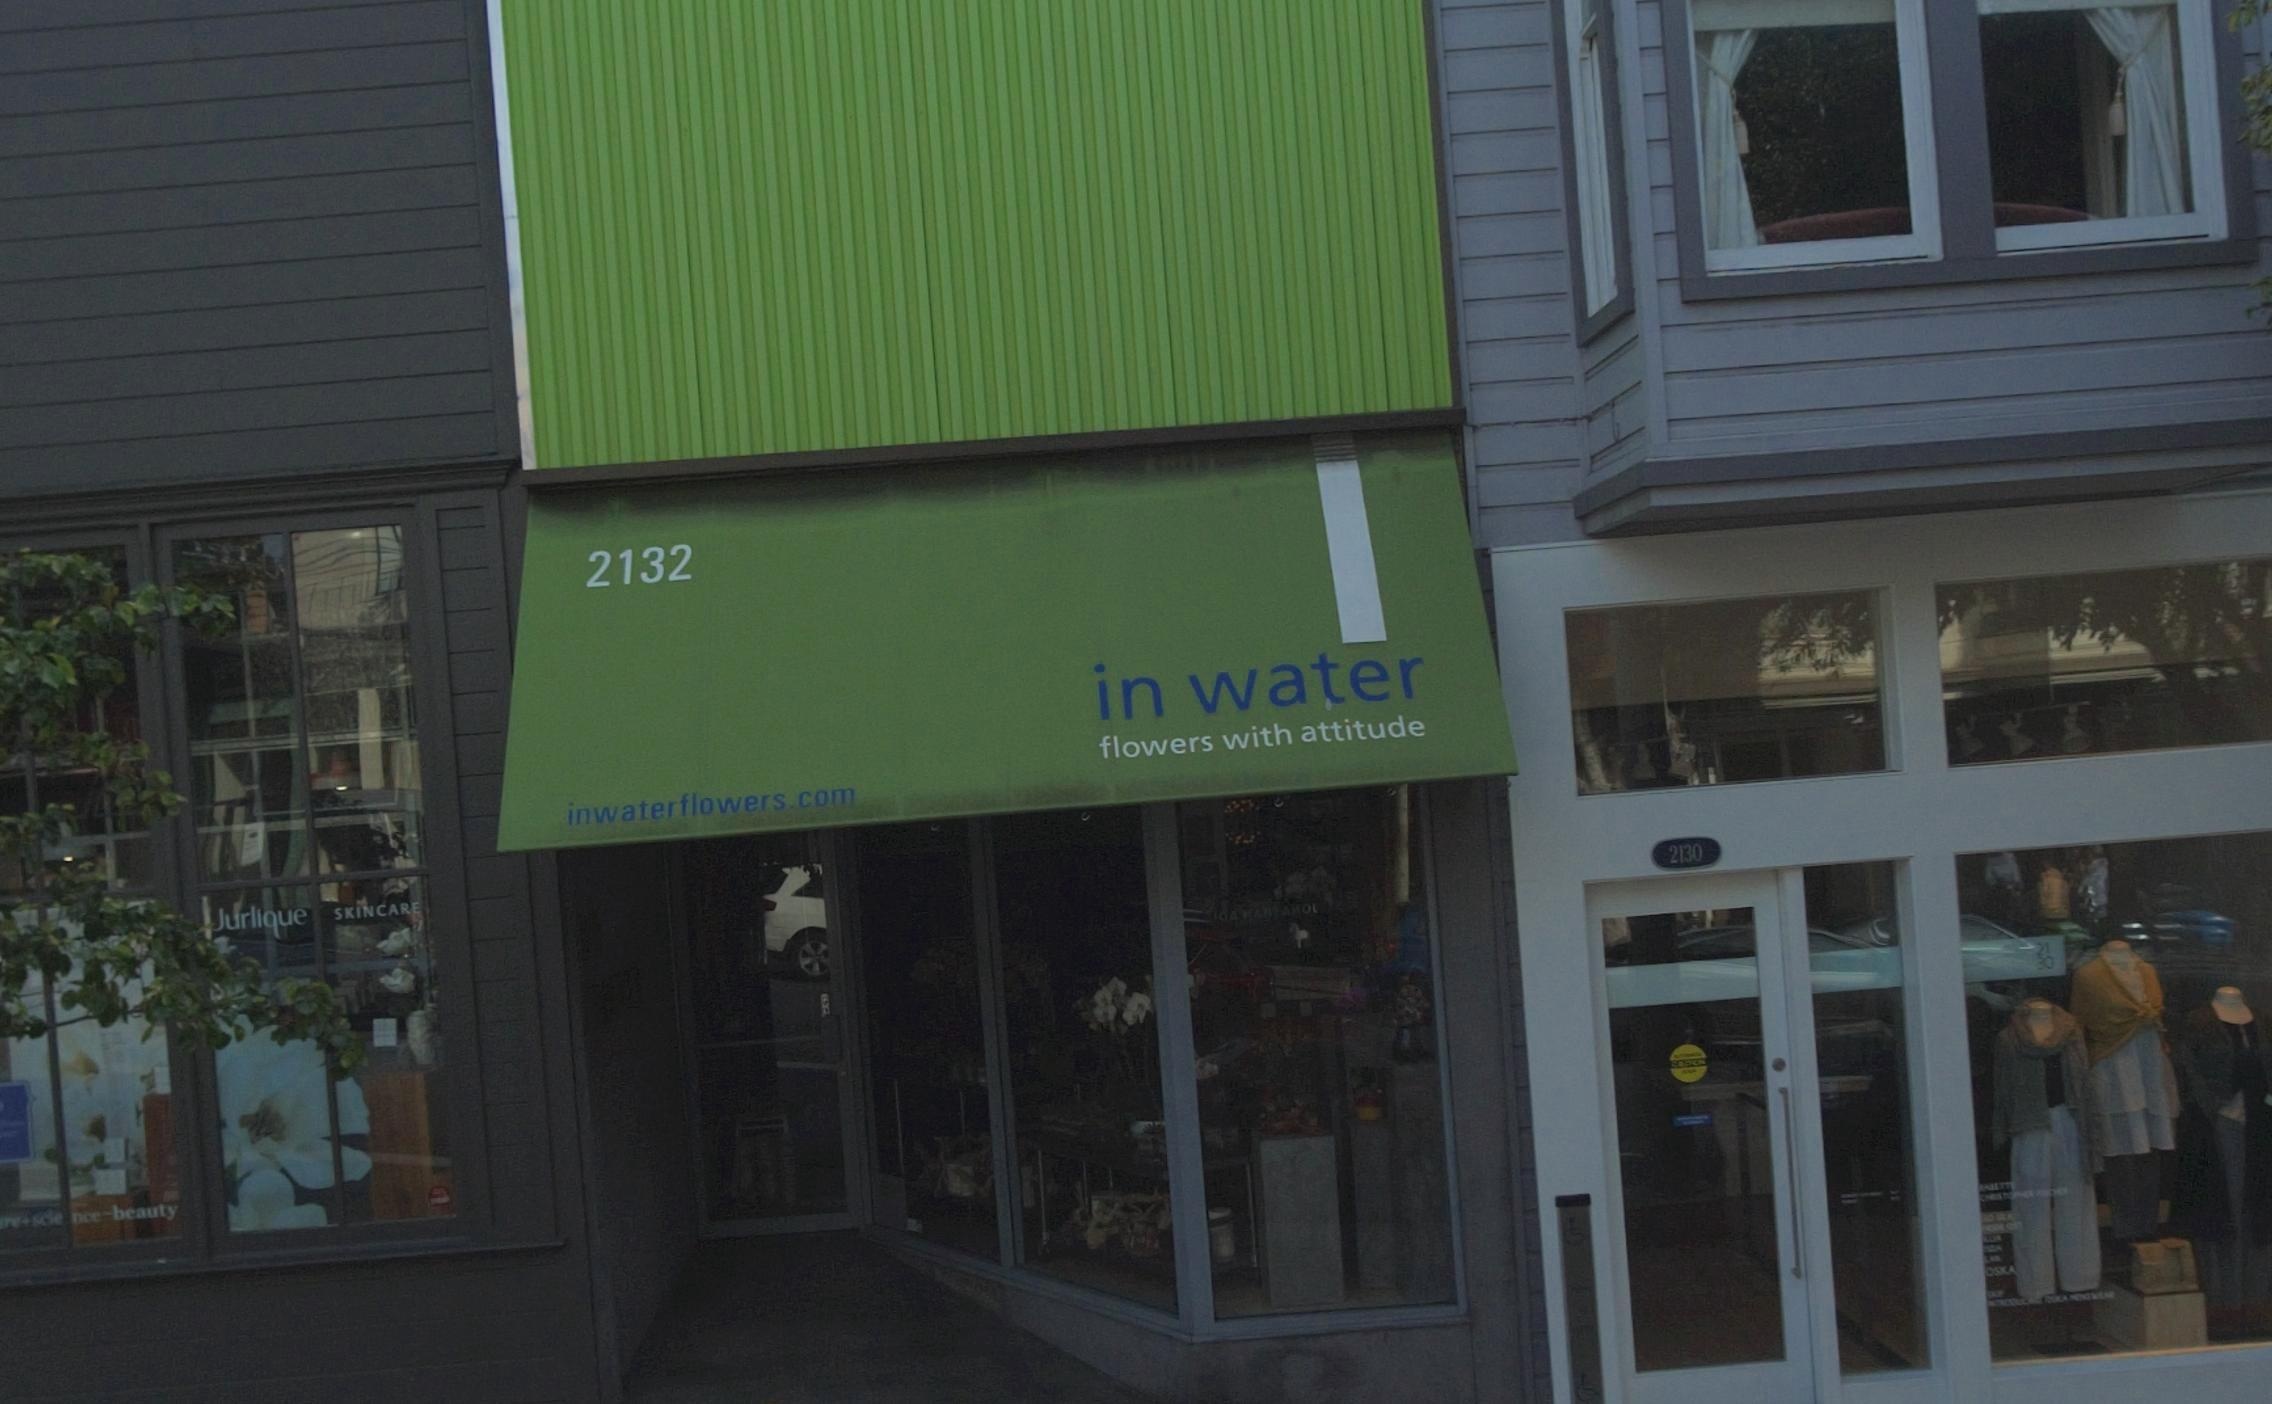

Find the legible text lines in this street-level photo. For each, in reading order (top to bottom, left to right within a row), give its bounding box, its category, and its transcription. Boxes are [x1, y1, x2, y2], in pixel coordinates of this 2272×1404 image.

[581, 538, 696, 591] StreetNumber: 2132
[1088, 648, 1429, 726] BusinessName: in water
[1095, 711, 1428, 763] None: flowers with attitude
[565, 784, 859, 830] None: inwaterflowers.com
[1667, 841, 1704, 866] StreetNumber: 2130
[222, 902, 310, 943] None: urlique
[331, 899, 423, 923] None: SKINCARE
[110, 1199, 182, 1225] None: beauty